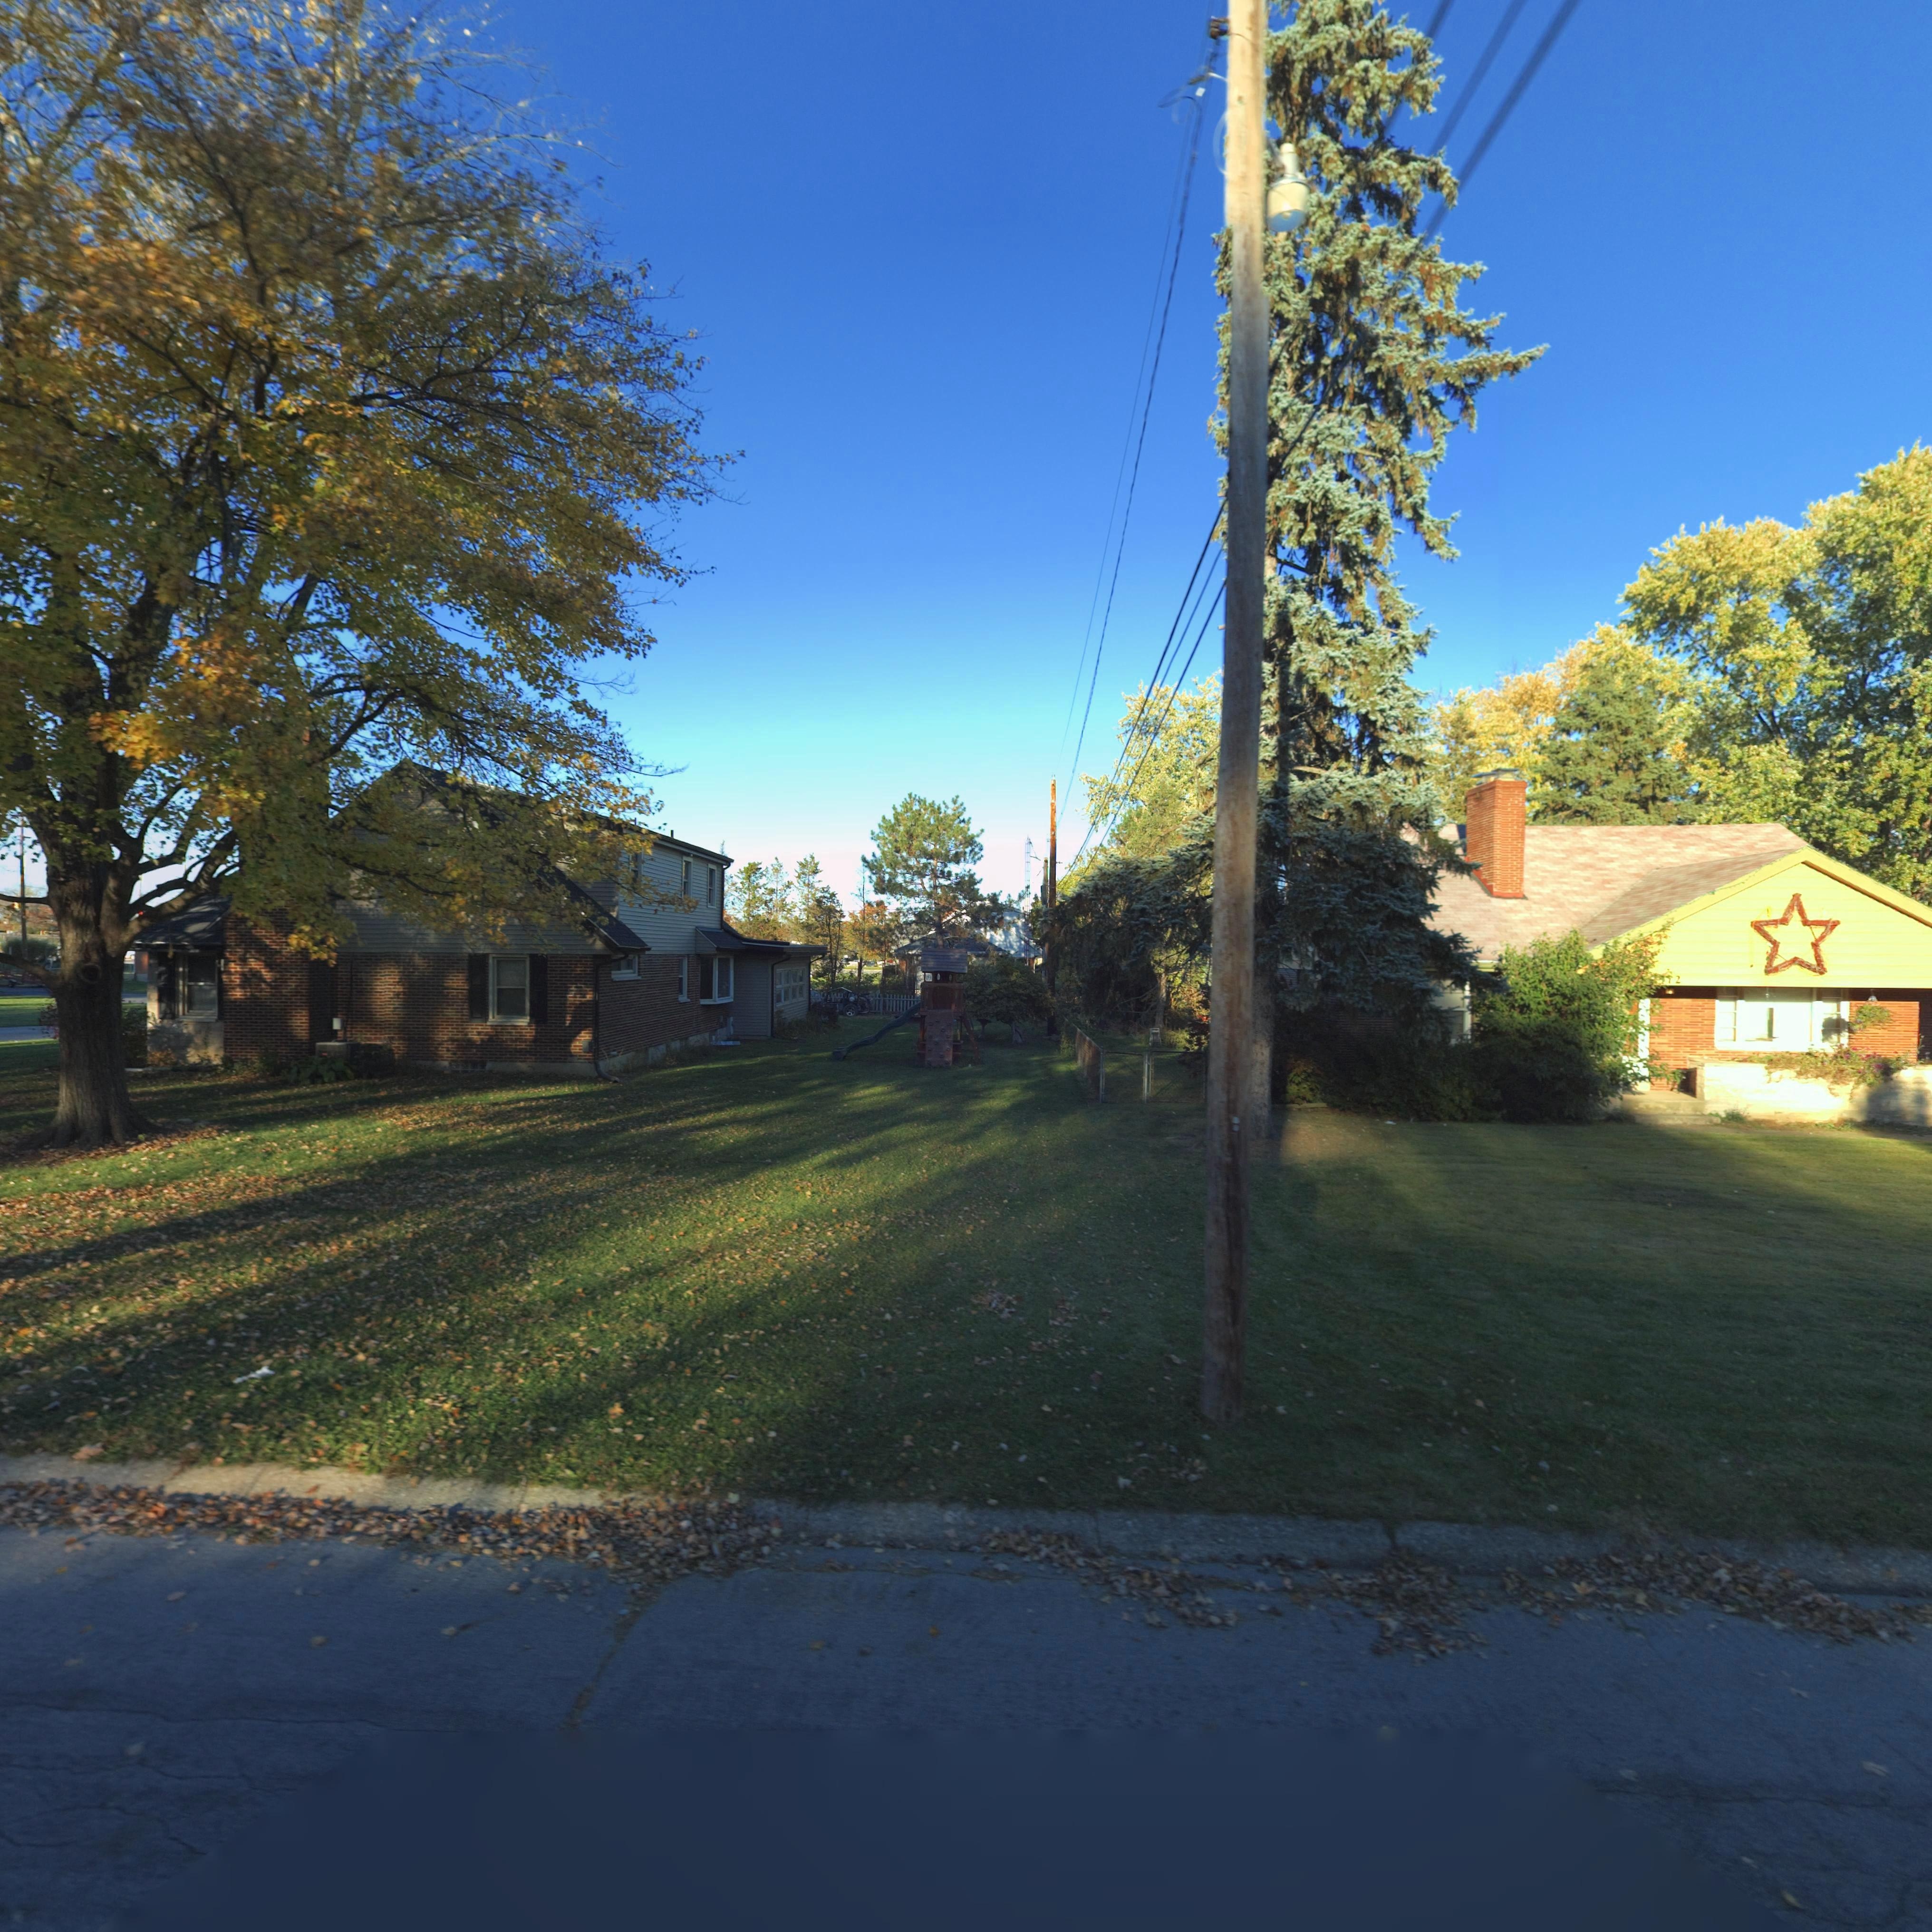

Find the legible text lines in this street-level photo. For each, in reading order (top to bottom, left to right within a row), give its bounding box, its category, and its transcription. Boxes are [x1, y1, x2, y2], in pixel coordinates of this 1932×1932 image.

[1674, 975, 1681, 985] StreetNumber: 2